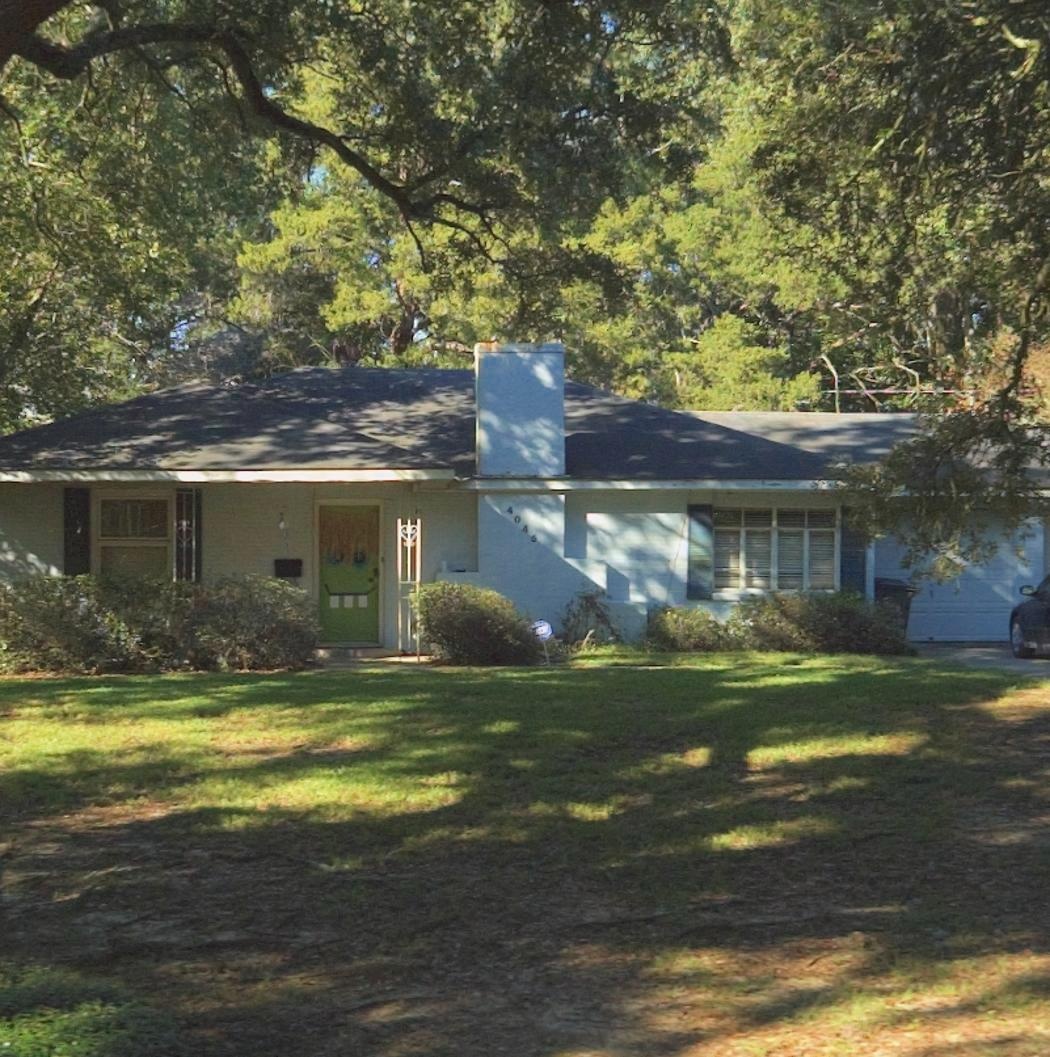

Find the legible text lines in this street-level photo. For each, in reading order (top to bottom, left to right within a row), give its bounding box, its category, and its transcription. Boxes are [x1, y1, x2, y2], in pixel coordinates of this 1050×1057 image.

[504, 505, 539, 544] StreetNumber: 4046